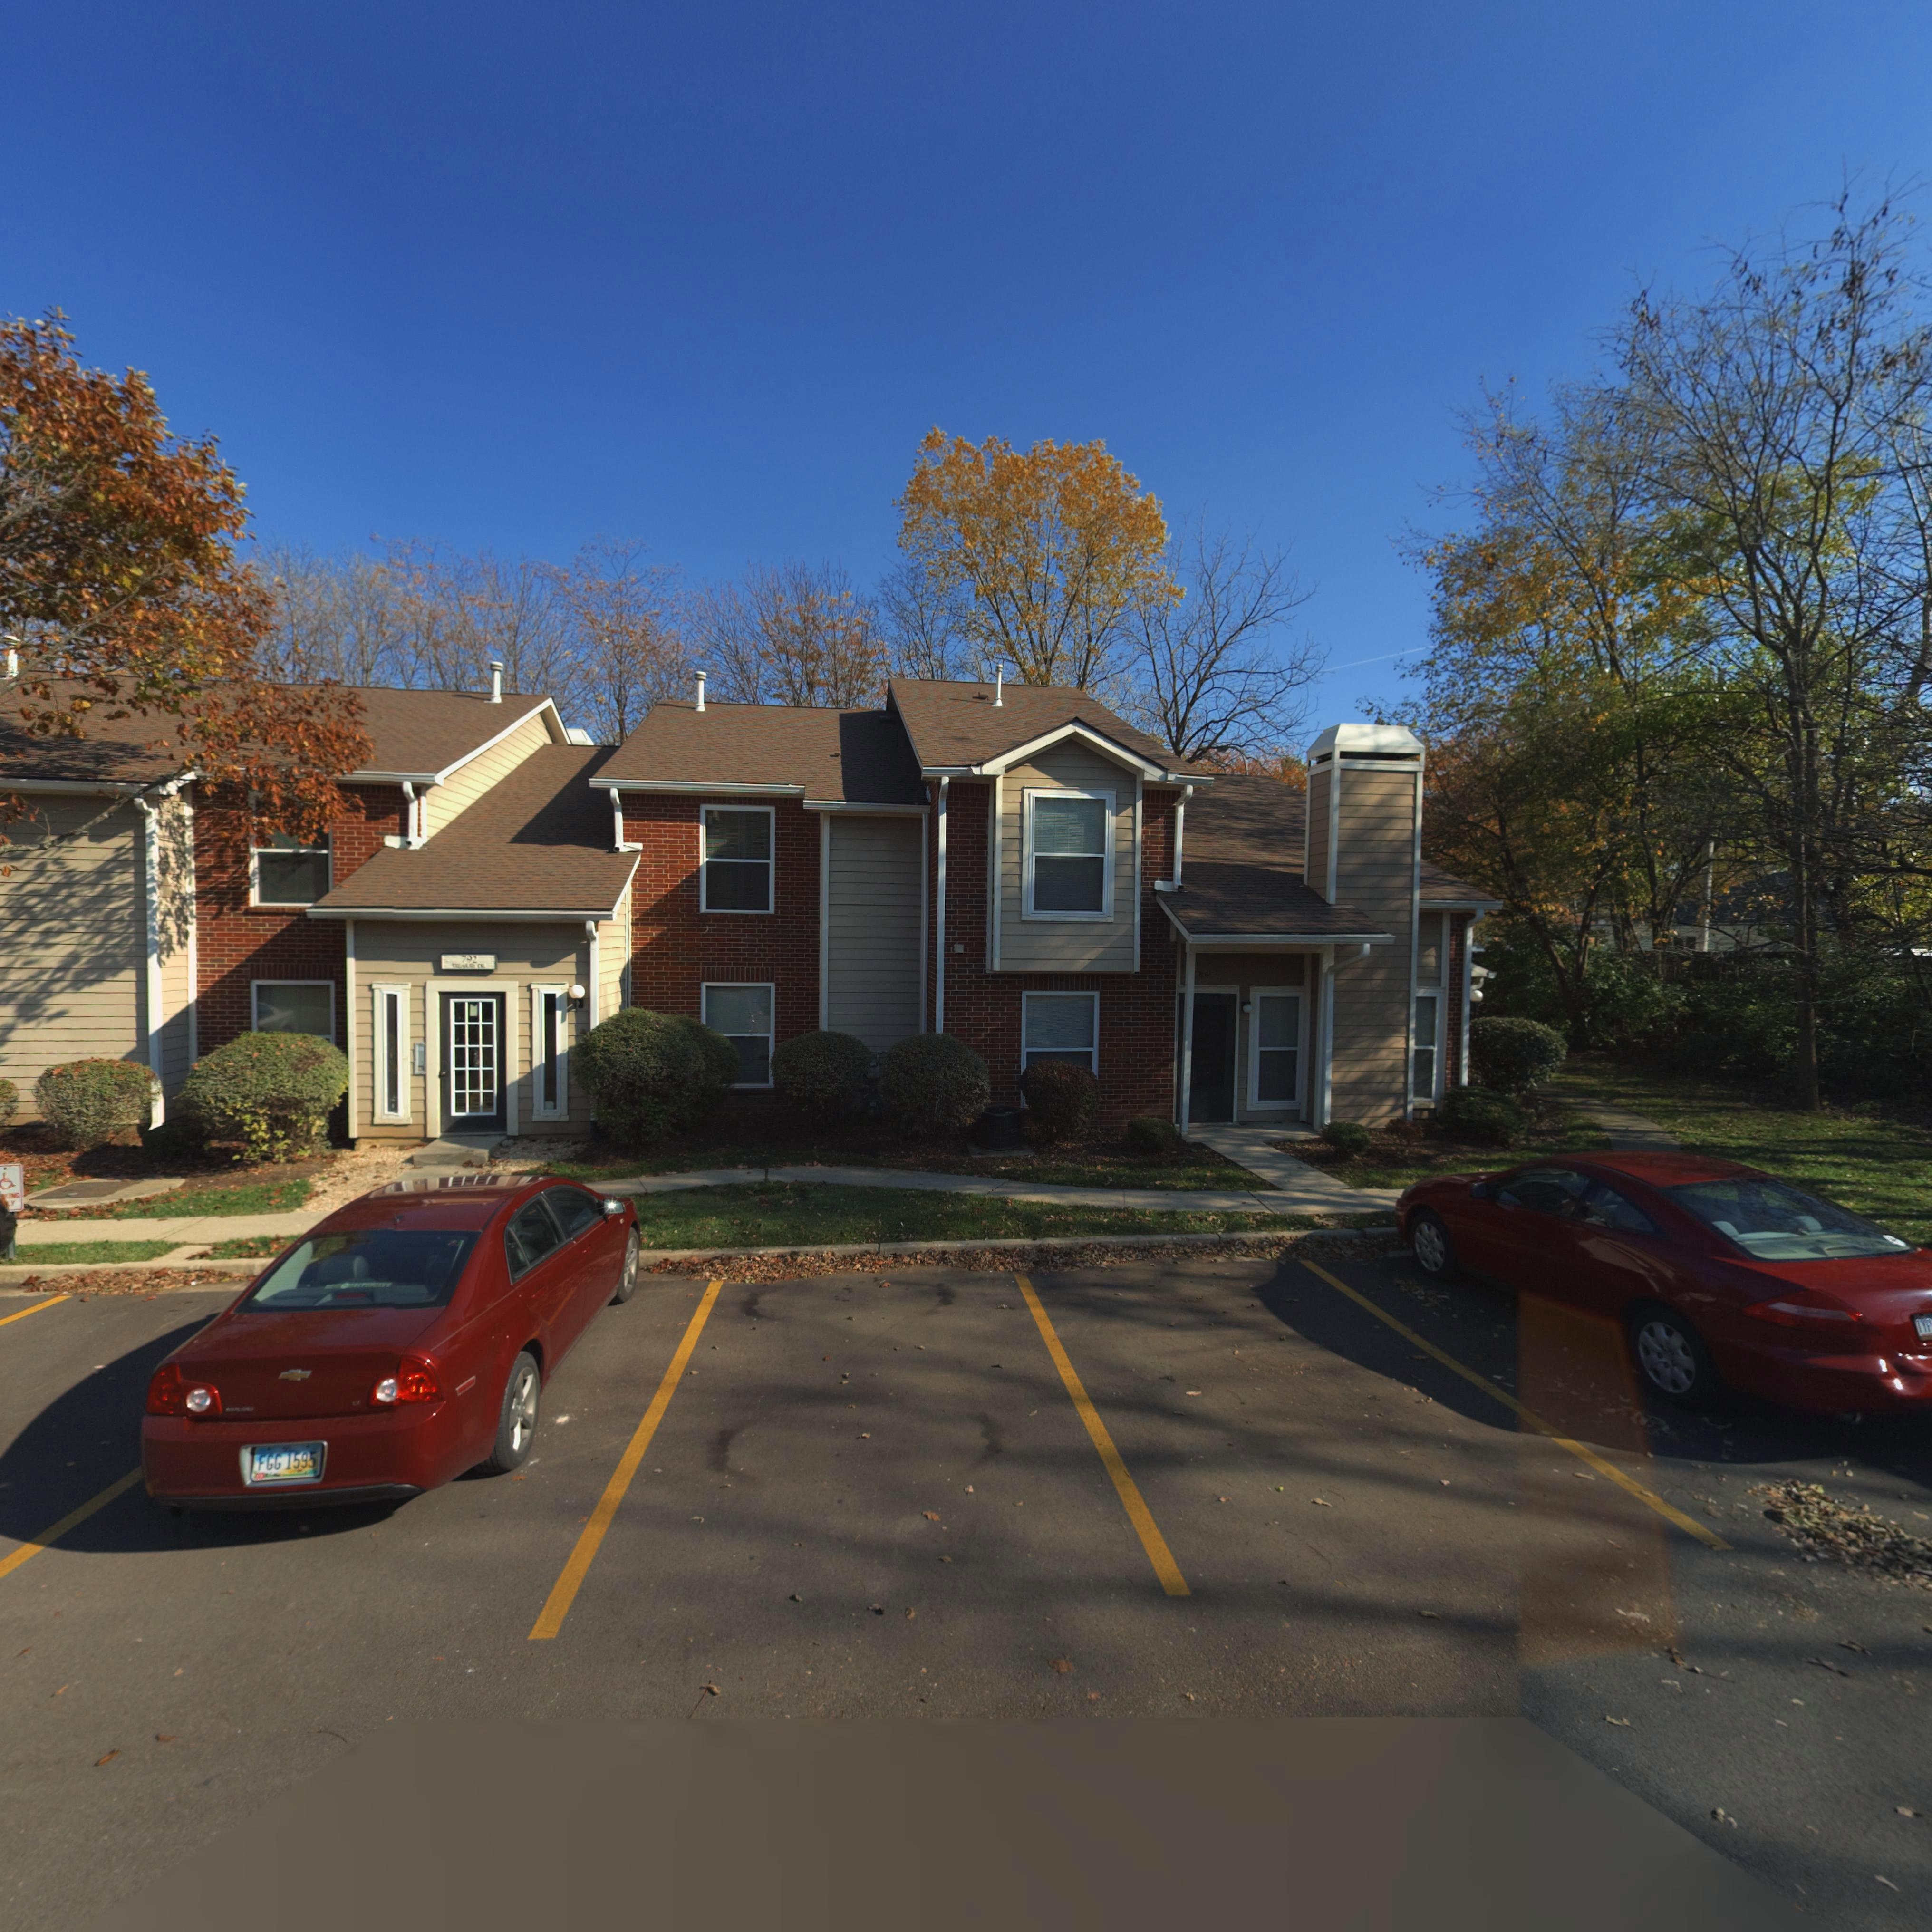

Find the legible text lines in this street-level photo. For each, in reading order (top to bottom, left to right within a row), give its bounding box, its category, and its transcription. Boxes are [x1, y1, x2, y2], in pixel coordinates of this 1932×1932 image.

[461, 955, 478, 964] StreetNumber: 792
[452, 963, 486, 969] StreetName: TR*A**** CR
[1198, 970, 1209, 979] StreetNumber: 86
[7, 1192, 20, 1199] None: ING
[5, 1200, 16, 1207] None: LY
[1919, 1317, 1932, 1333] None: YP
[256, 1450, 319, 1473] None: FGG*1595